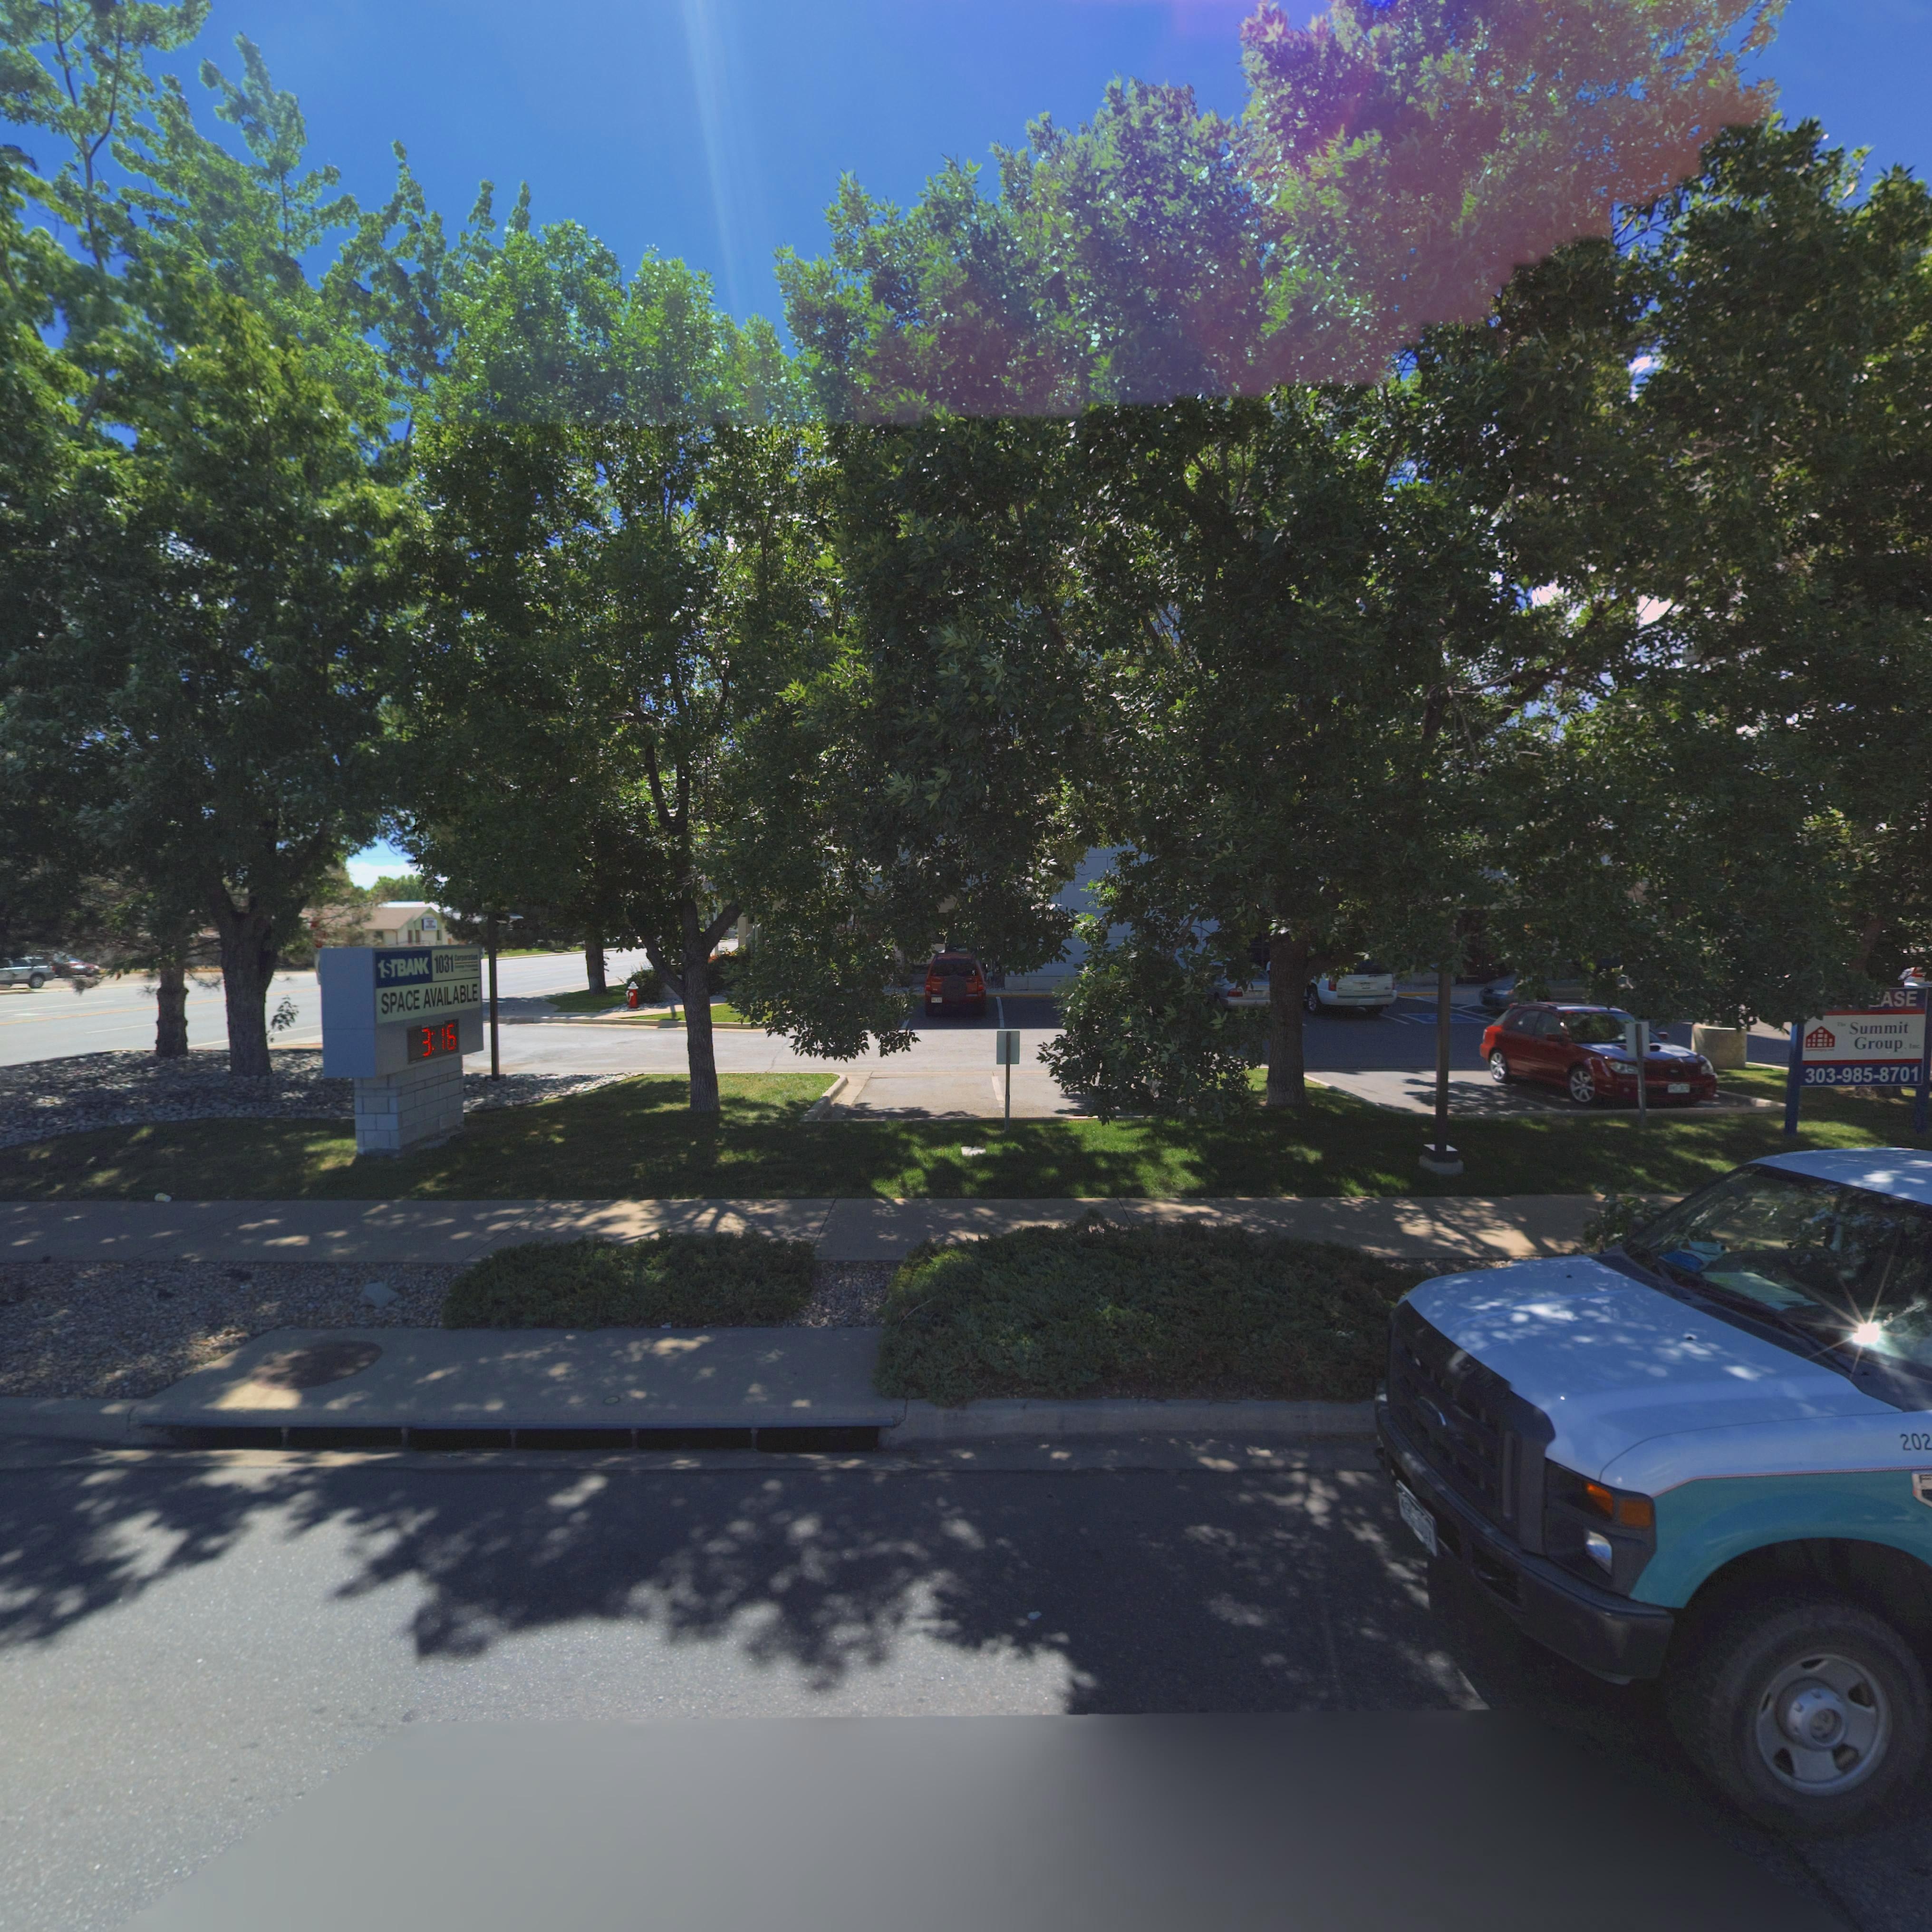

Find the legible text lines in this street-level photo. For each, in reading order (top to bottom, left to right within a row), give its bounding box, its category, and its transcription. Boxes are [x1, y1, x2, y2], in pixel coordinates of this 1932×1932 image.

[377, 956, 431, 978] BusinessName: 1STBAN*
[434, 954, 454, 973] BusinessName: 1031
[454, 954, 478, 961] BusinessName: Corporation